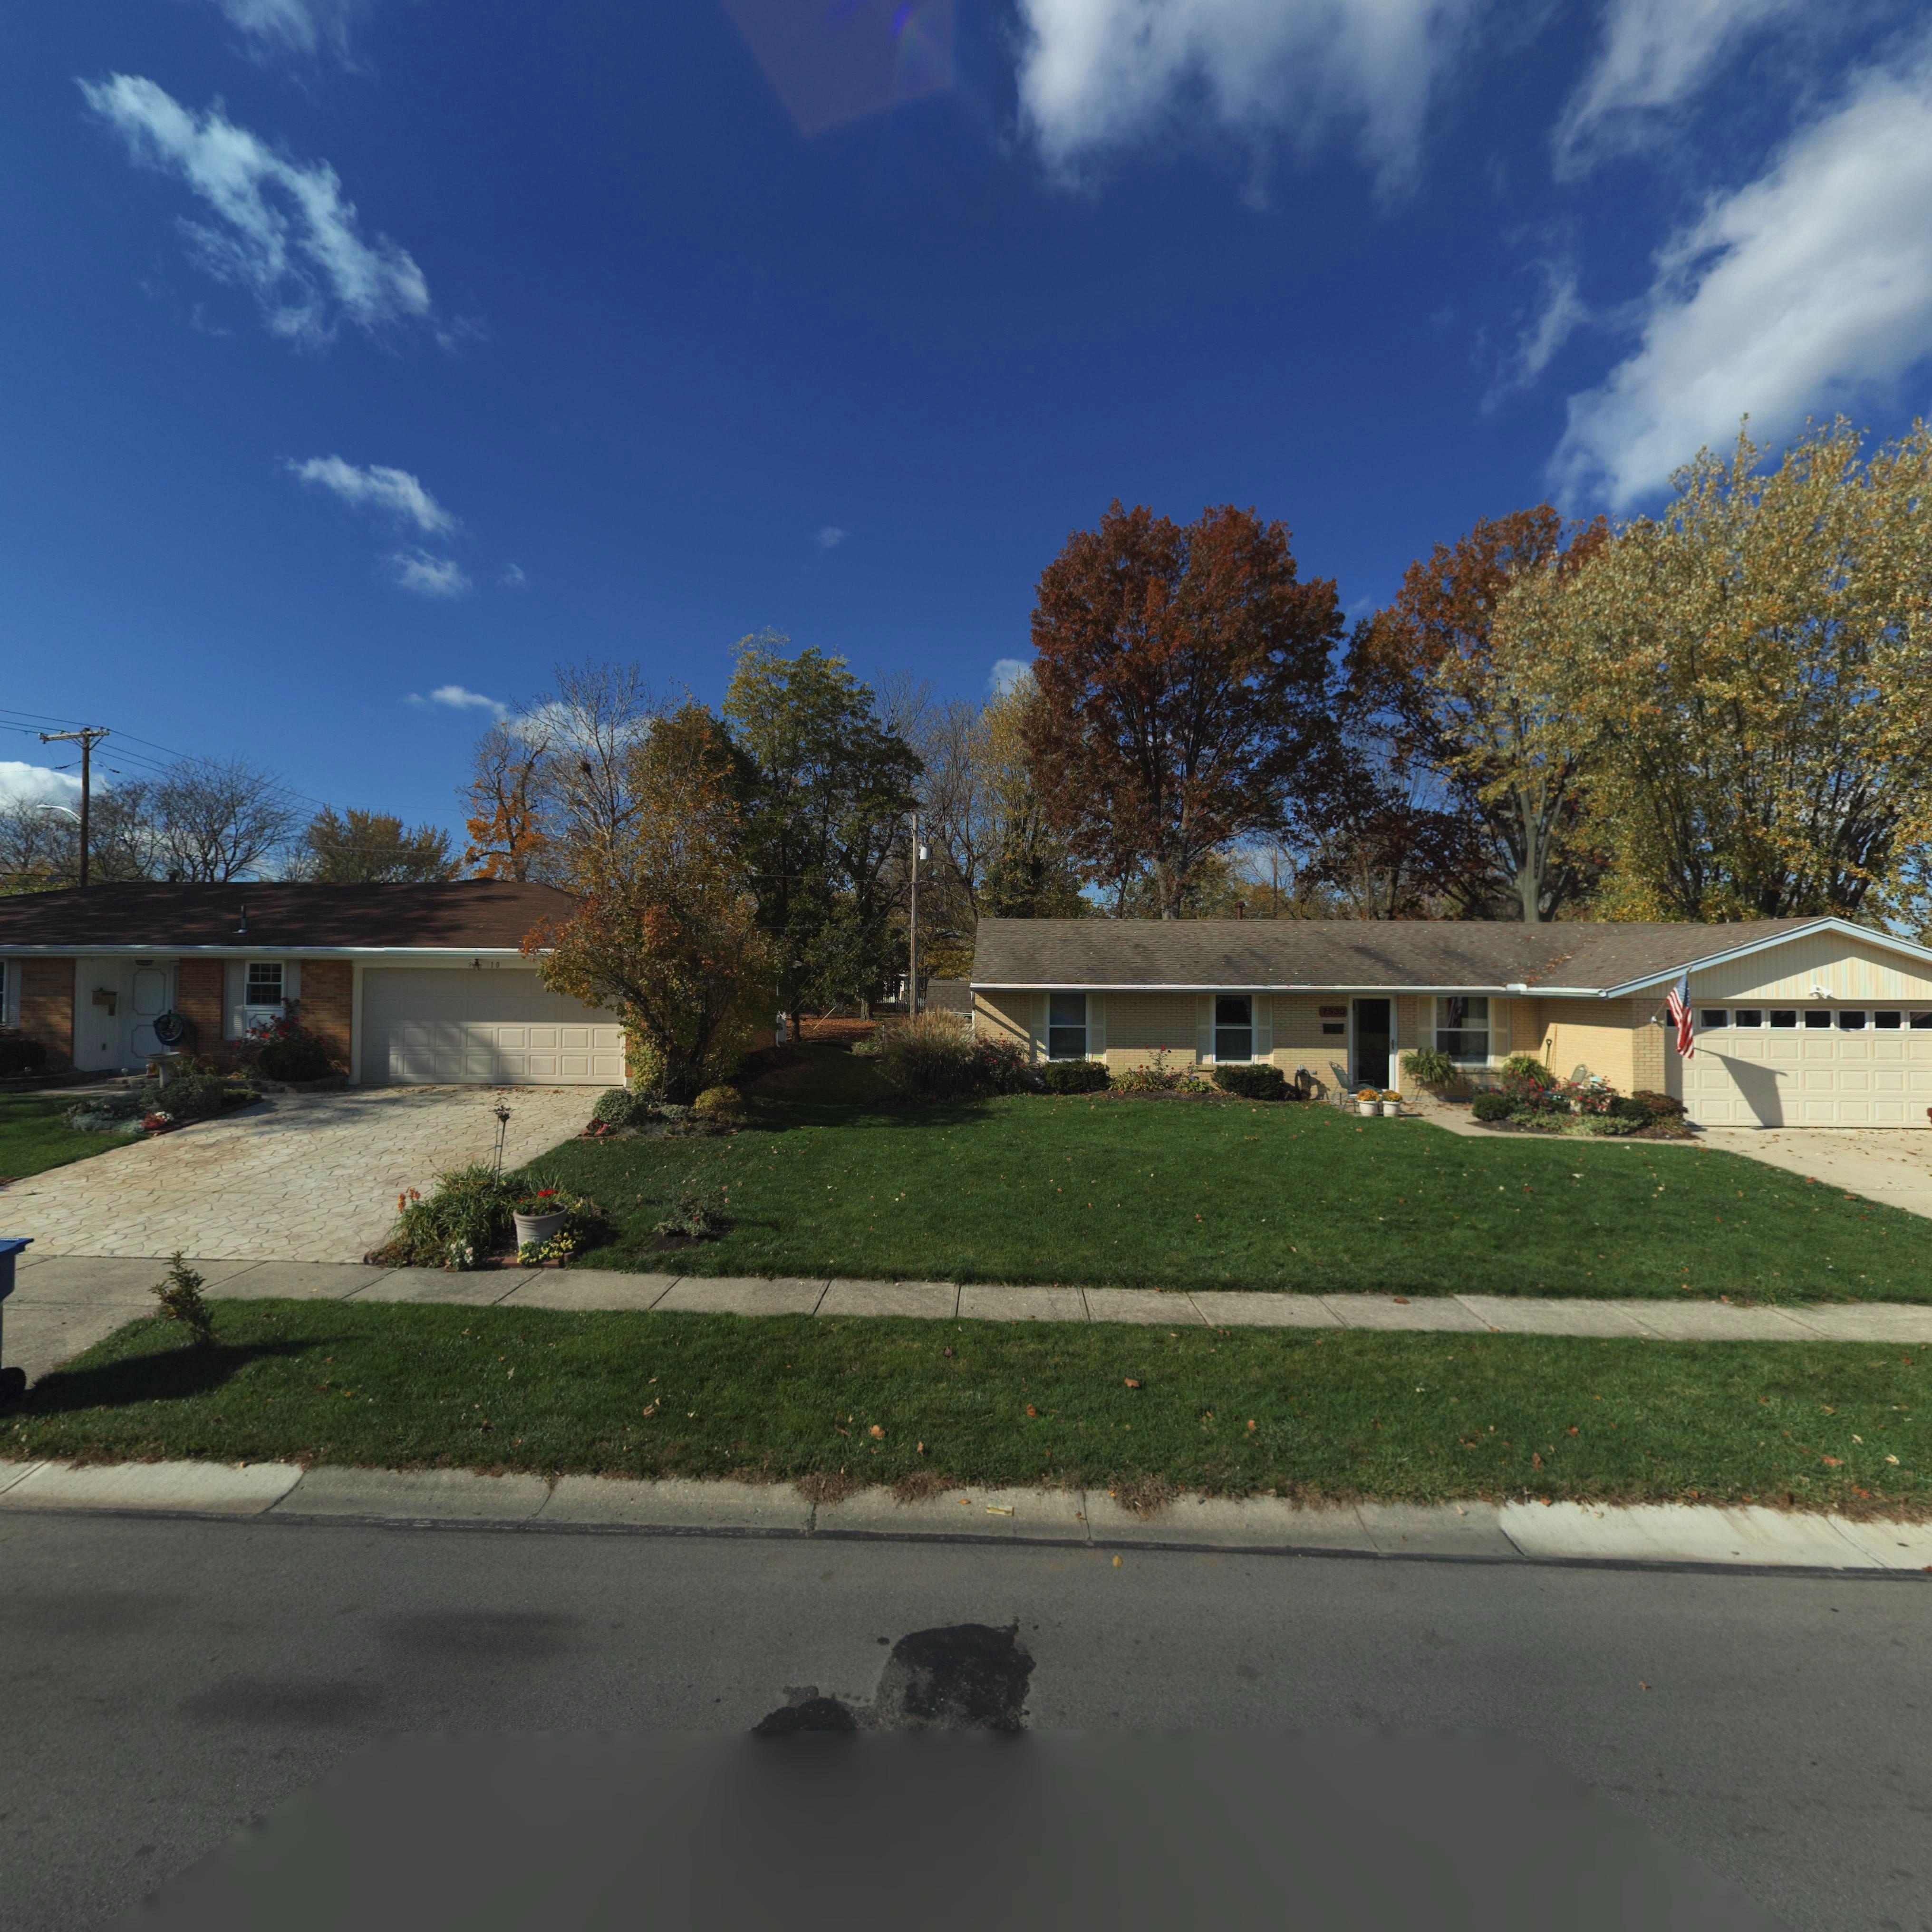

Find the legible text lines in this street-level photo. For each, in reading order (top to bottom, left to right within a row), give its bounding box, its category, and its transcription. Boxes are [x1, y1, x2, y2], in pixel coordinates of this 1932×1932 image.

[490, 960, 501, 970] StreetNumber: 10
[1321, 1007, 1346, 1016] StreetNumber: 7530